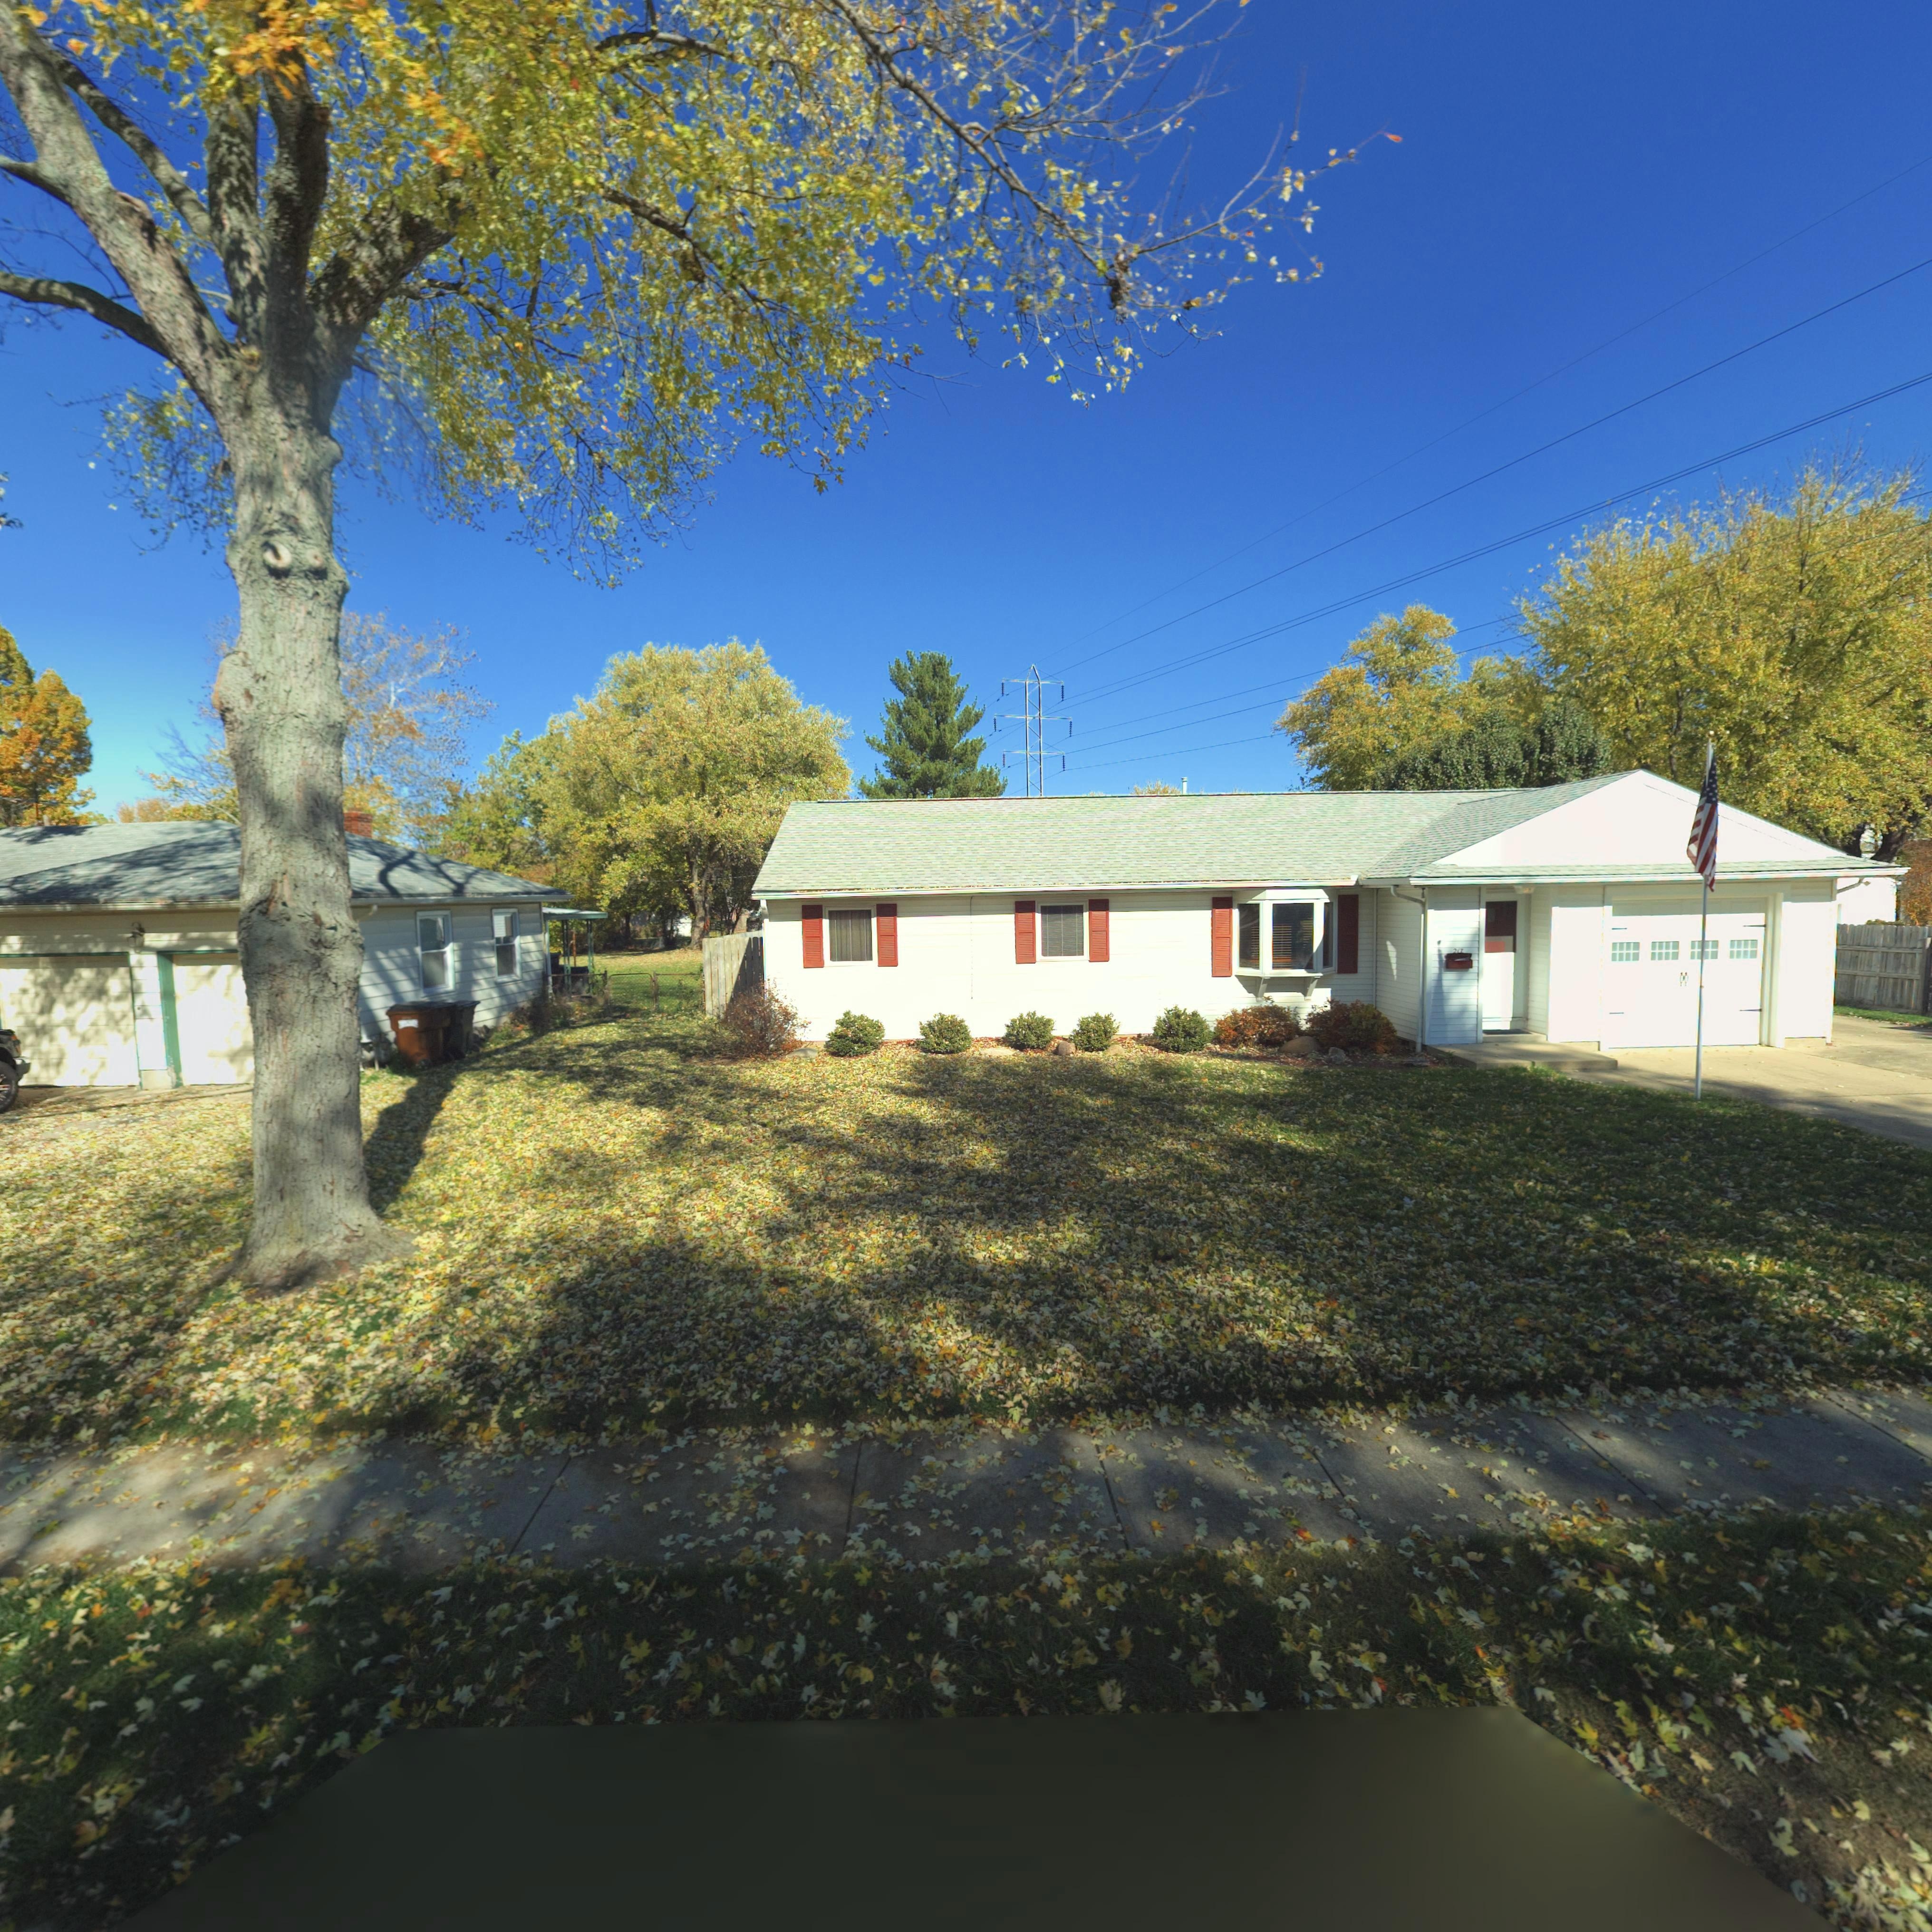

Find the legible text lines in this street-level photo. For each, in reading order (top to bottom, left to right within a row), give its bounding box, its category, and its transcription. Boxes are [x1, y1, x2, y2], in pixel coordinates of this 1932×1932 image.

[1453, 948, 1464, 954] StreetNumber: 217